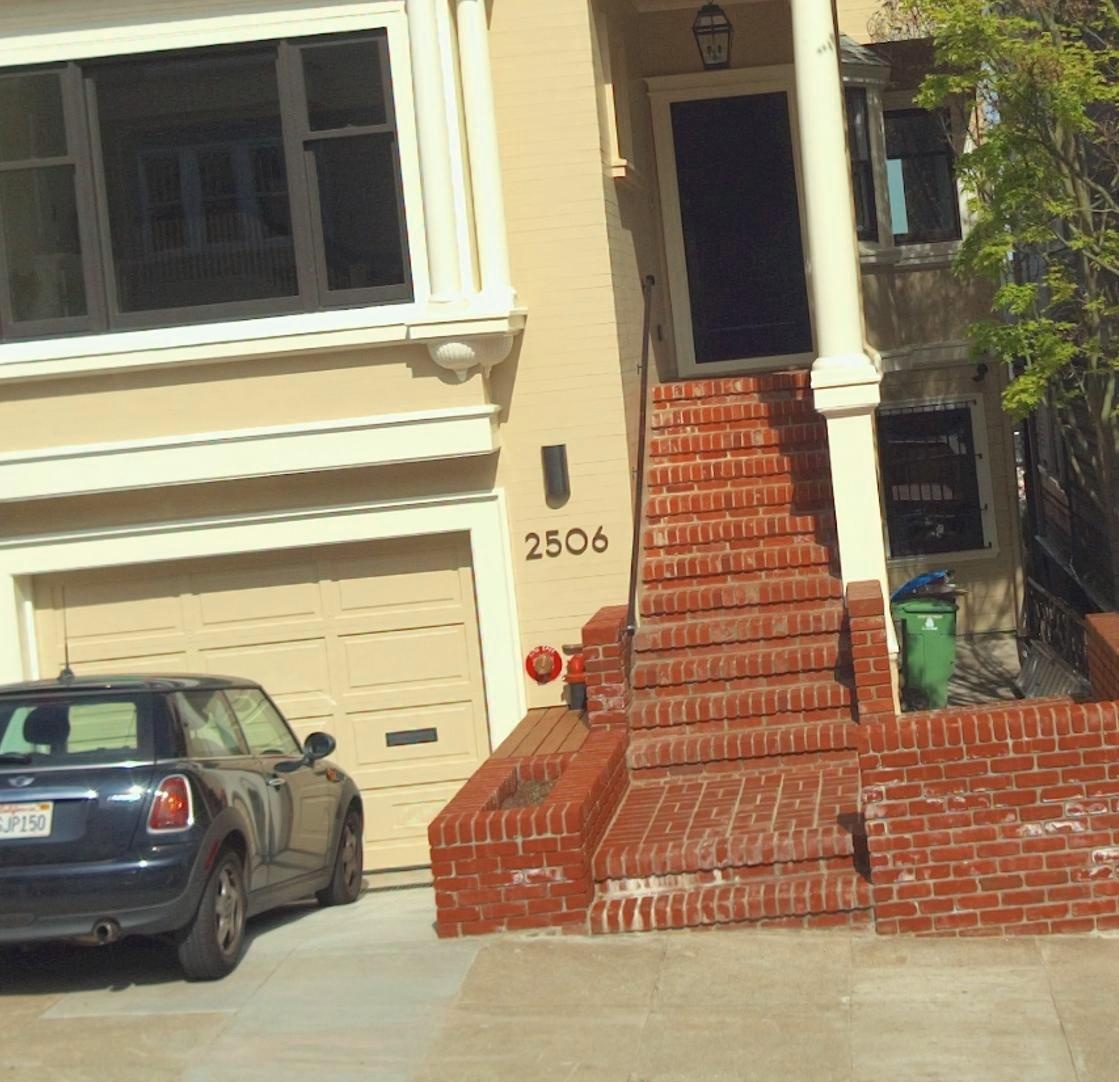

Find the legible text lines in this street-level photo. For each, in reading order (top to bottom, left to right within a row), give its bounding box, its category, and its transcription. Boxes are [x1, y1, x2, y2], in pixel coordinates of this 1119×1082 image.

[522, 522, 610, 564] StreetNumber: 2506
[1, 811, 48, 836] None: JP150